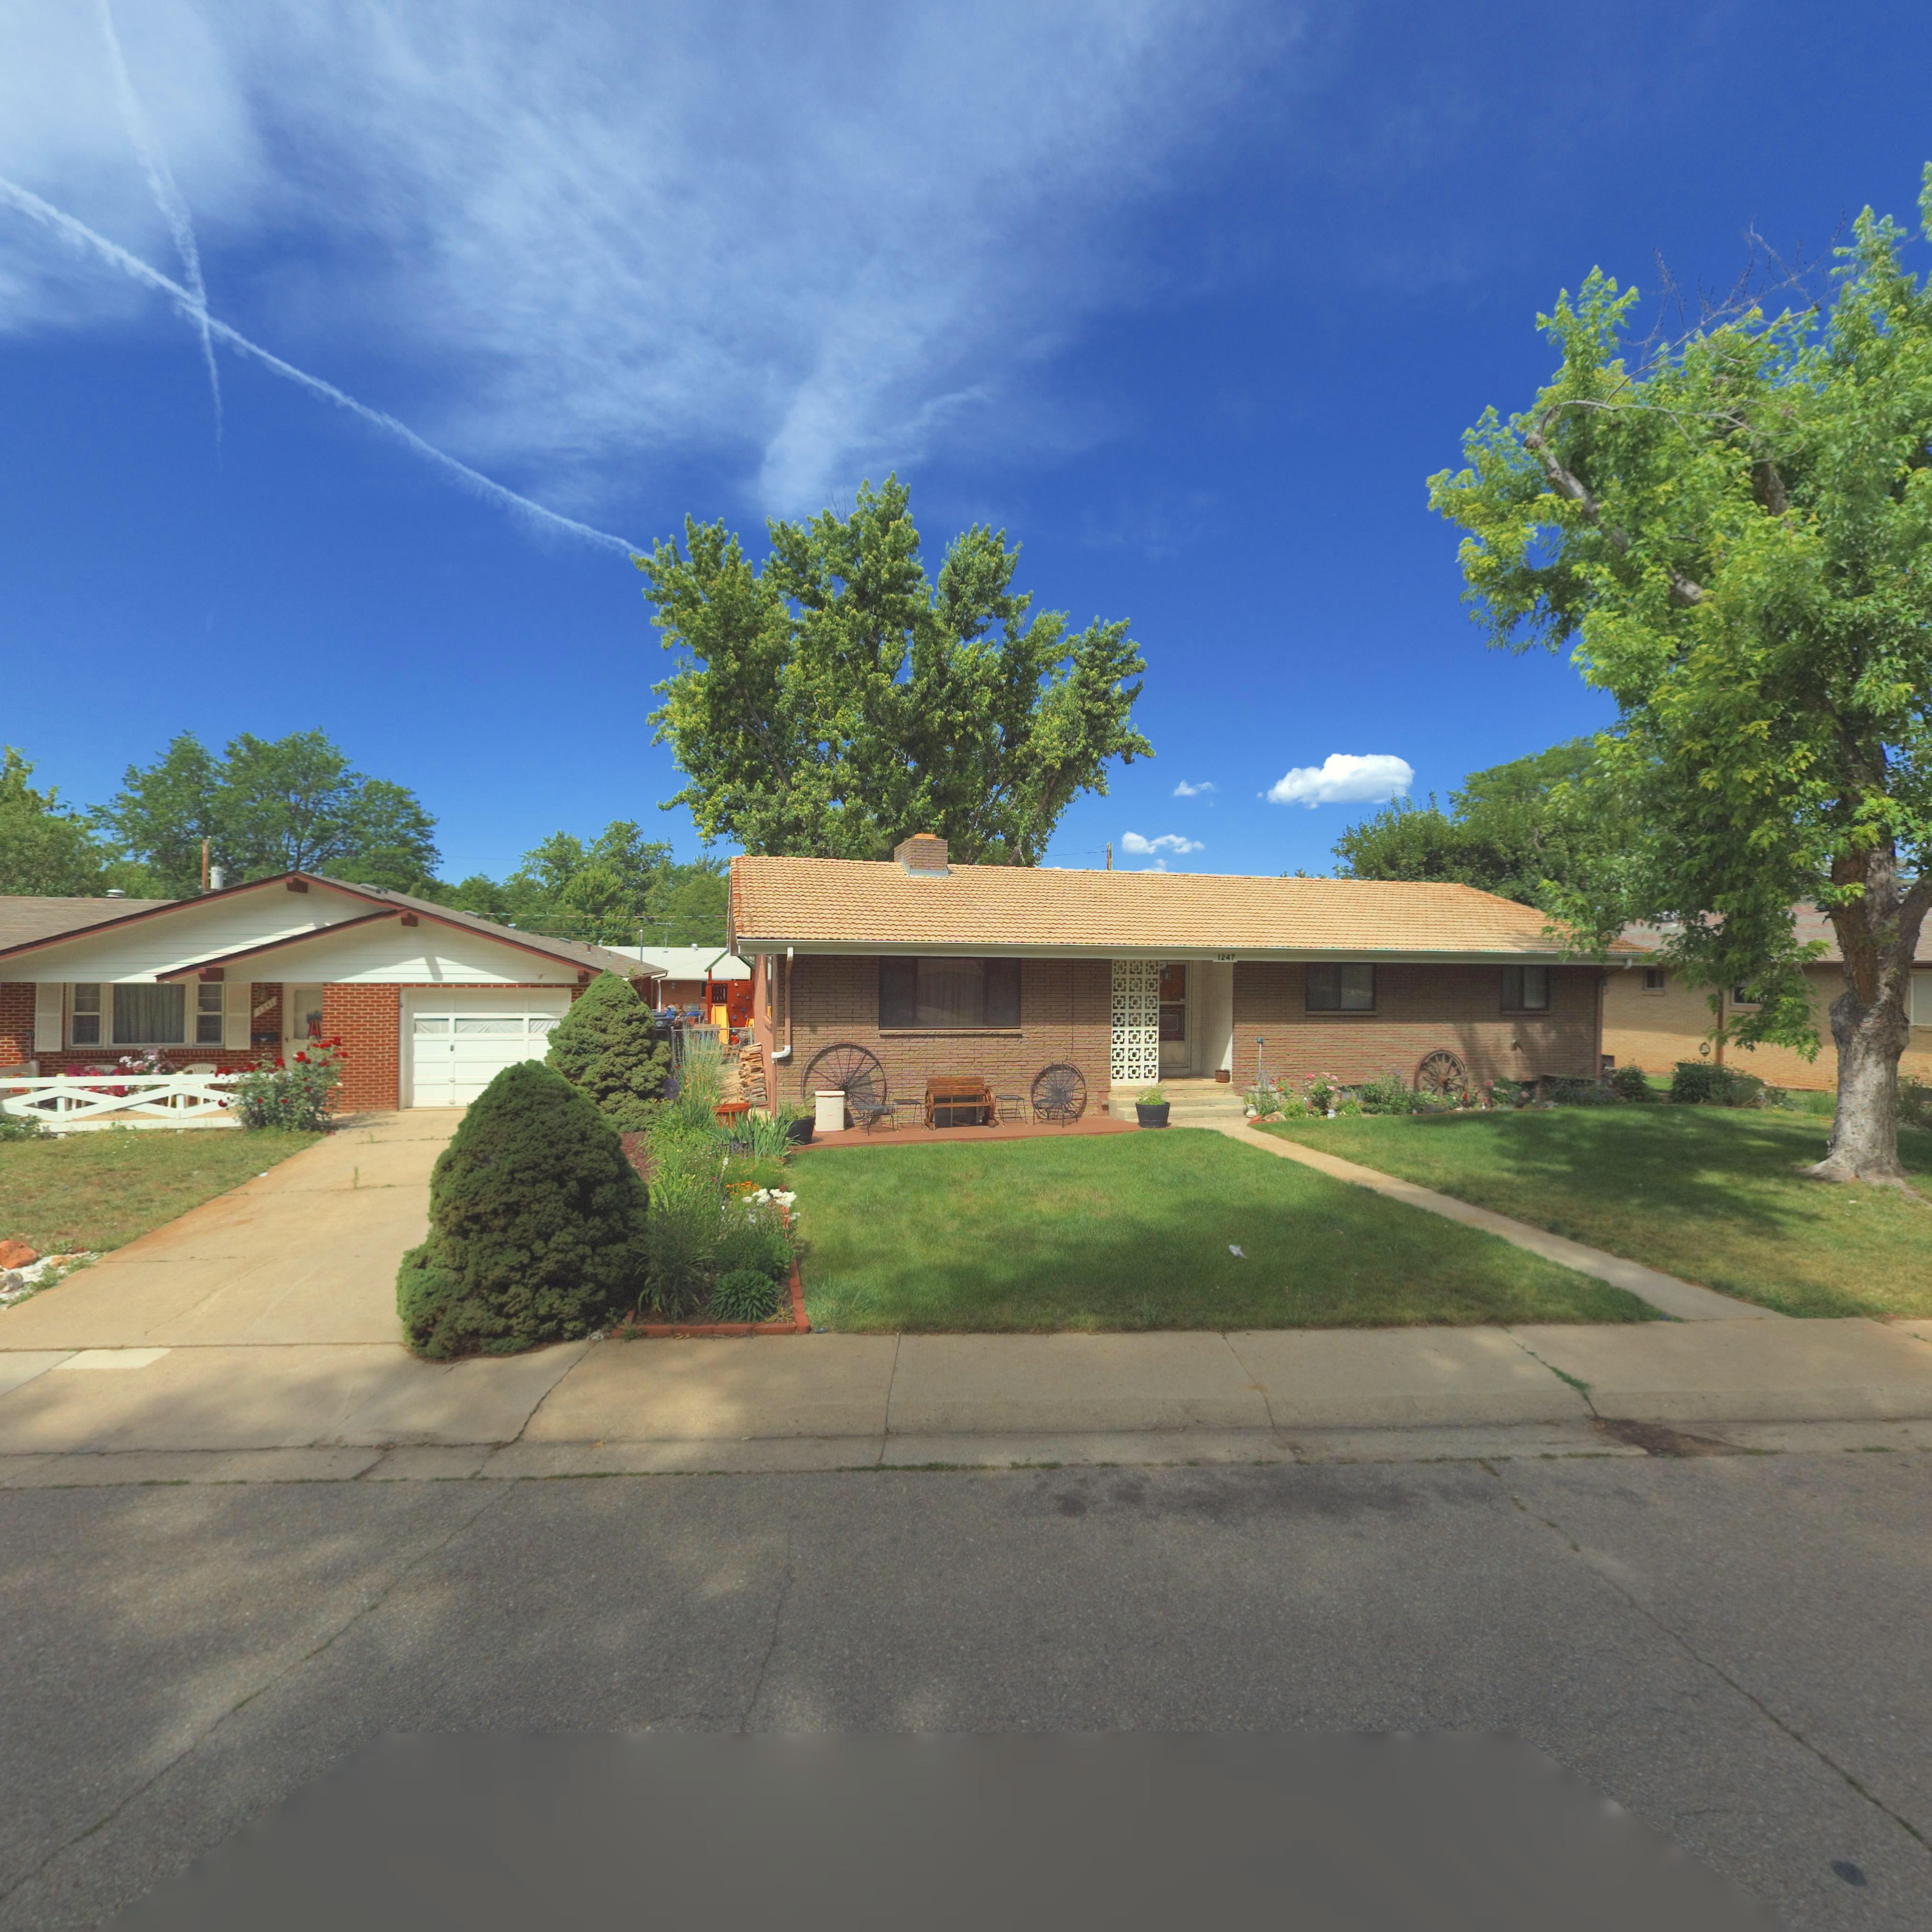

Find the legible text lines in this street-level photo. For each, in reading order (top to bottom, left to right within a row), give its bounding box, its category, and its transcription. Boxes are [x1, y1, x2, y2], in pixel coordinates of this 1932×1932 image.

[1217, 954, 1235, 960] StreetNumber: 1247
[257, 999, 274, 1013] StreetNumber: 1241